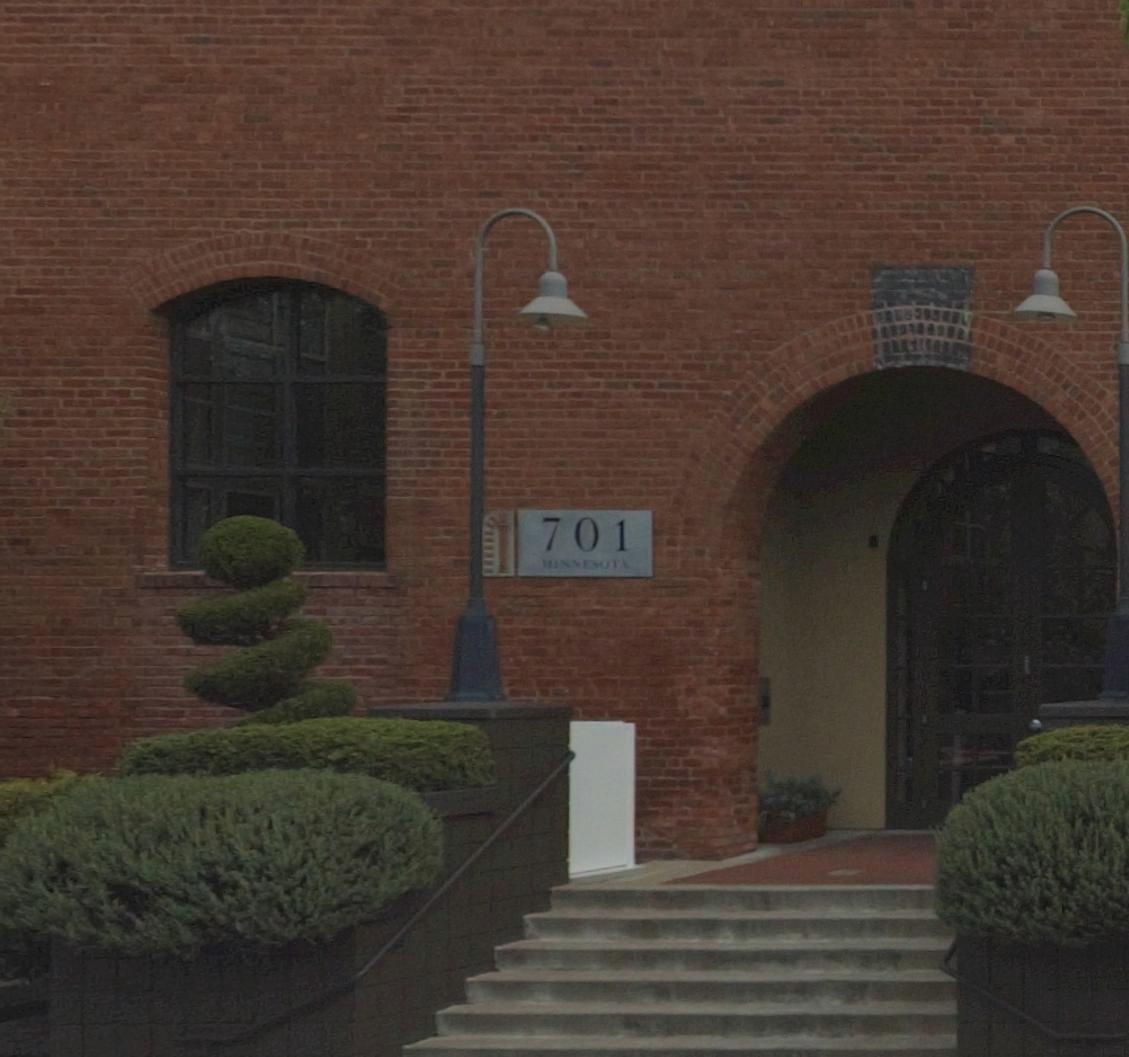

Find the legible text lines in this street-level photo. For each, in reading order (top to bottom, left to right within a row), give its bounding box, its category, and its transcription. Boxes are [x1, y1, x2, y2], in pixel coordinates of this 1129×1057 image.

[540, 516, 630, 552] StreetNumber: 701
[540, 556, 634, 572] StreetName: MINNESOTA